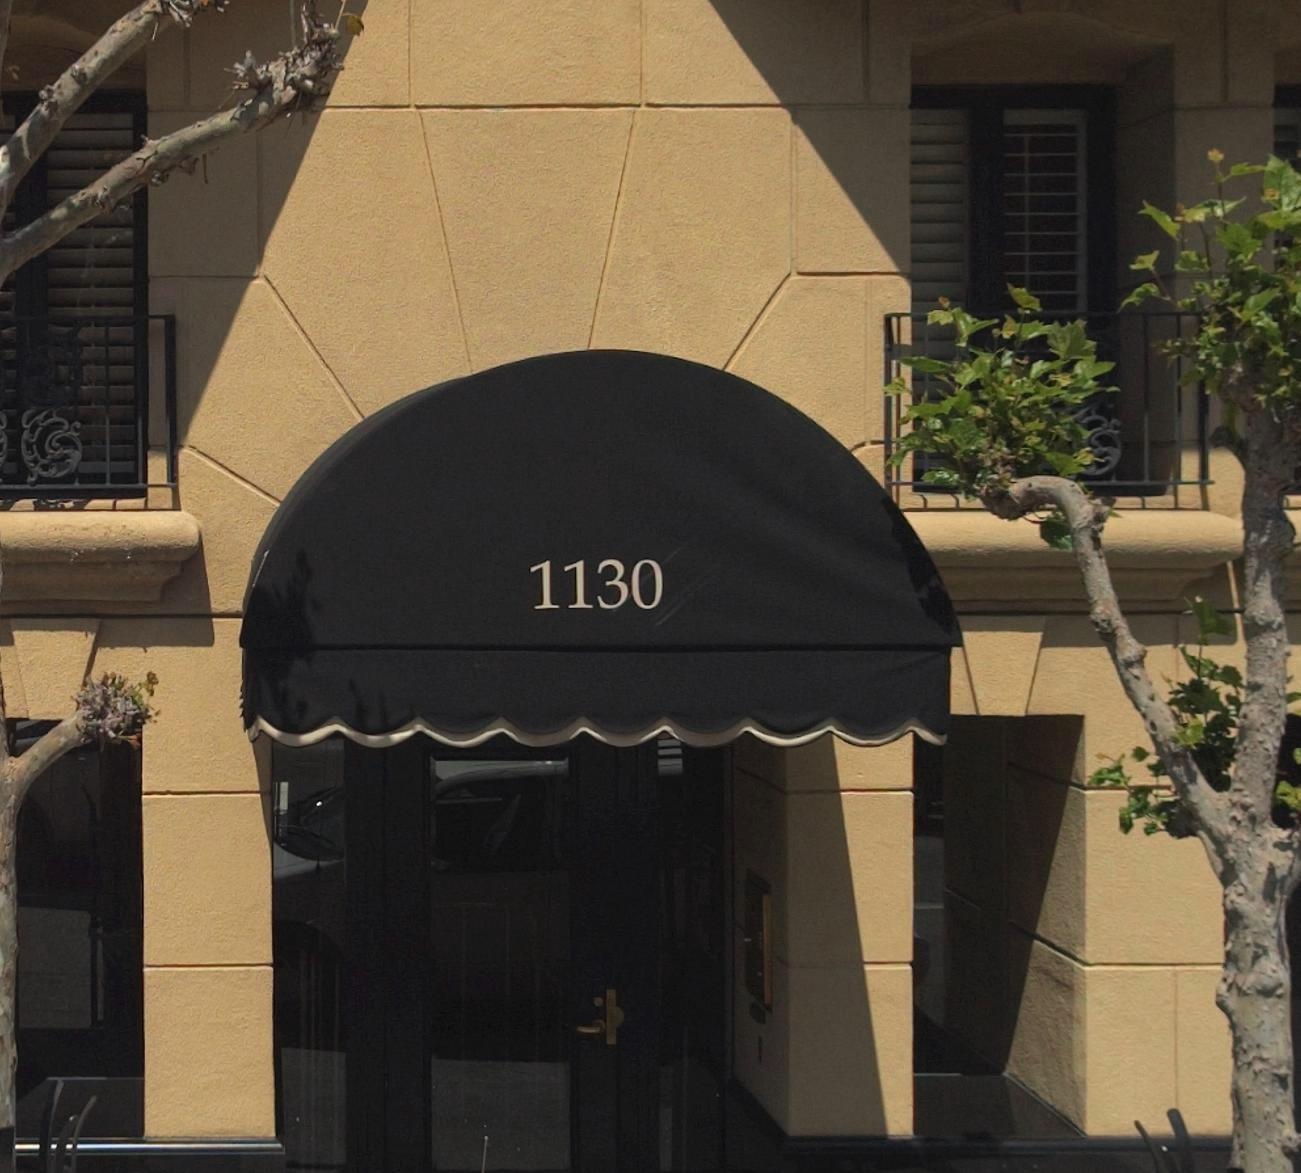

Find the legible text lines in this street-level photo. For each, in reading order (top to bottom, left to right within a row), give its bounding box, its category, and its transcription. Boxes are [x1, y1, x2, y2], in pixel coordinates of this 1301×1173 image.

[528, 558, 665, 612] StreetNumber: 1130